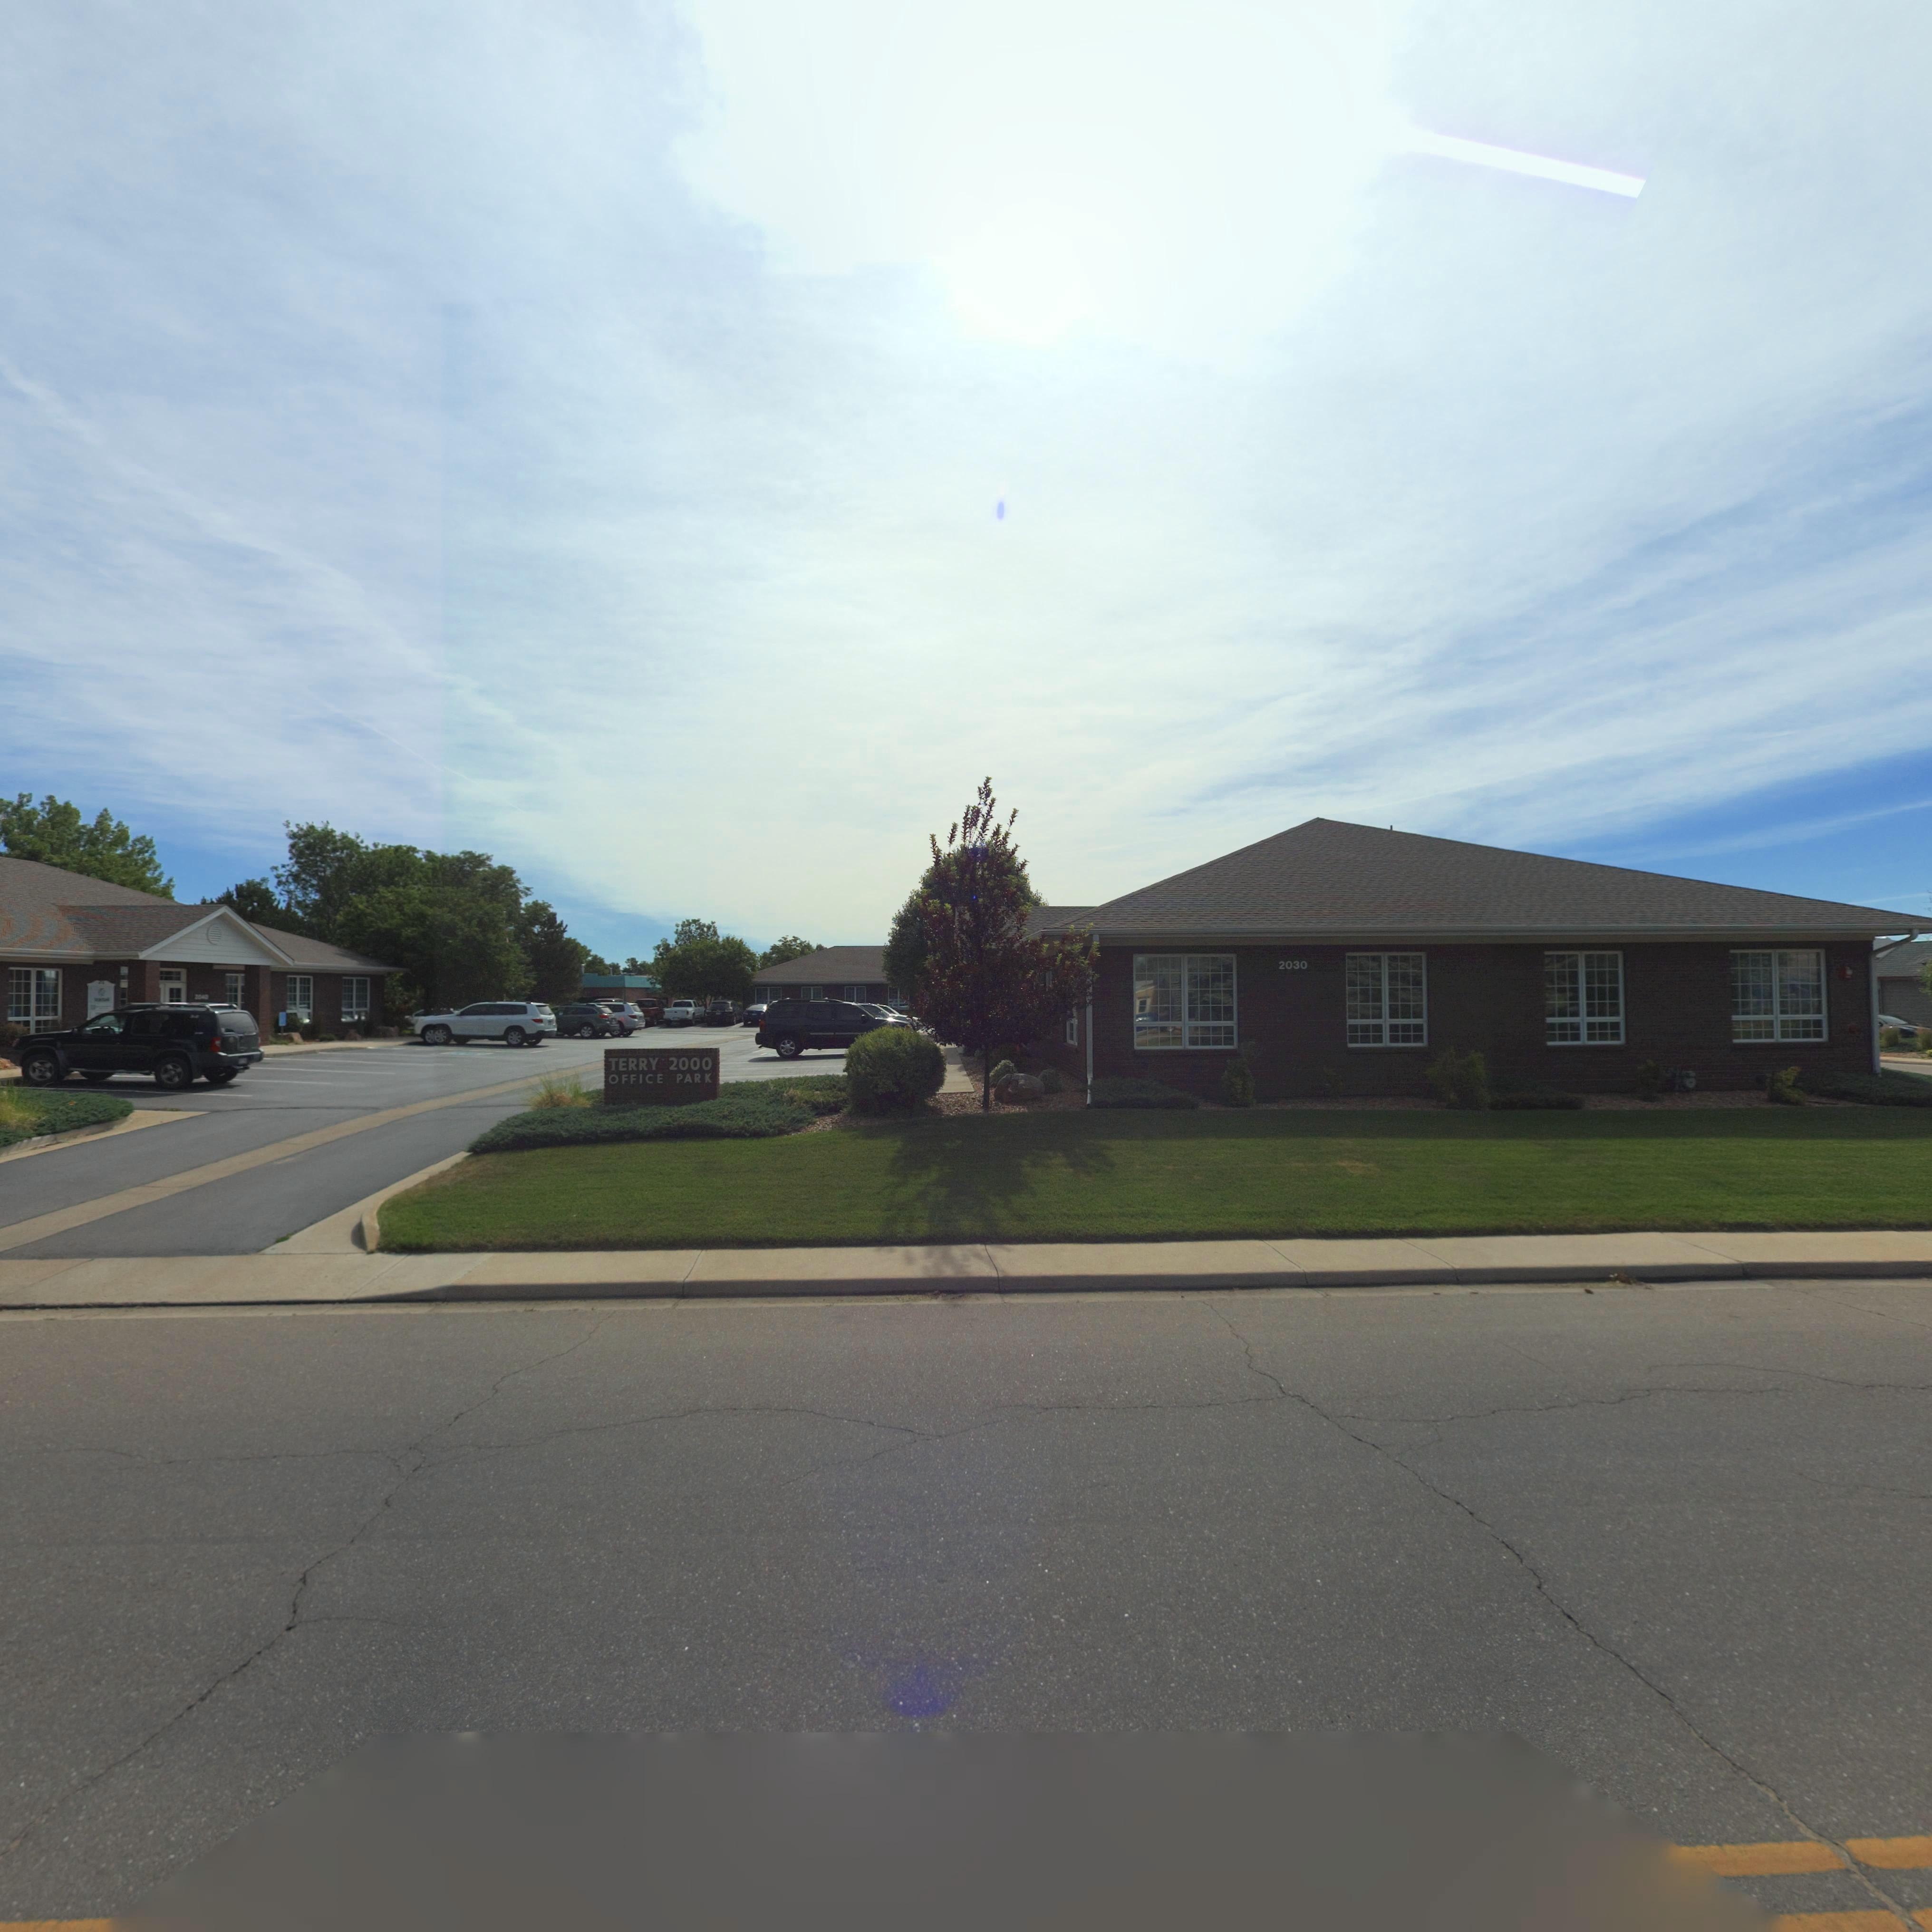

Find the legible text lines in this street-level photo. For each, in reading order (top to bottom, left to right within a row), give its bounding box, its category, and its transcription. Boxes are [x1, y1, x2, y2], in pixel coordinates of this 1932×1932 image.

[1278, 960, 1308, 970] StreetNumber: 2030
[194, 994, 209, 1000] StreetNumber: 2*40
[608, 1056, 659, 1071] StreetName: TERRY
[668, 1056, 712, 1071] StreetNumber: 2000